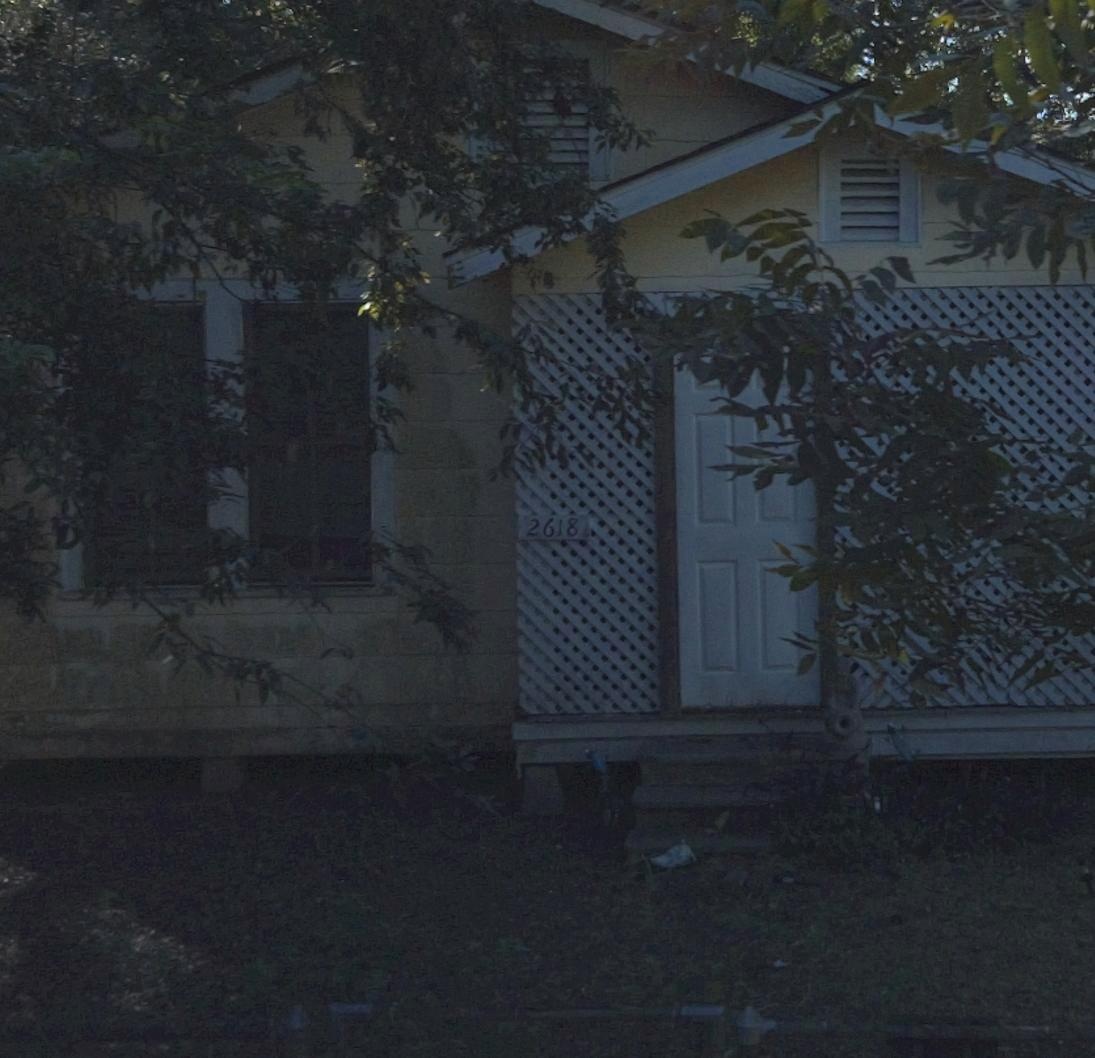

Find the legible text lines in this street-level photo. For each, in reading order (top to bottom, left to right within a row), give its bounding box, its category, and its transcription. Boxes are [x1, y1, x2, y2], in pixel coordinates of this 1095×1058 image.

[523, 515, 580, 540] StreetNumber: 2618